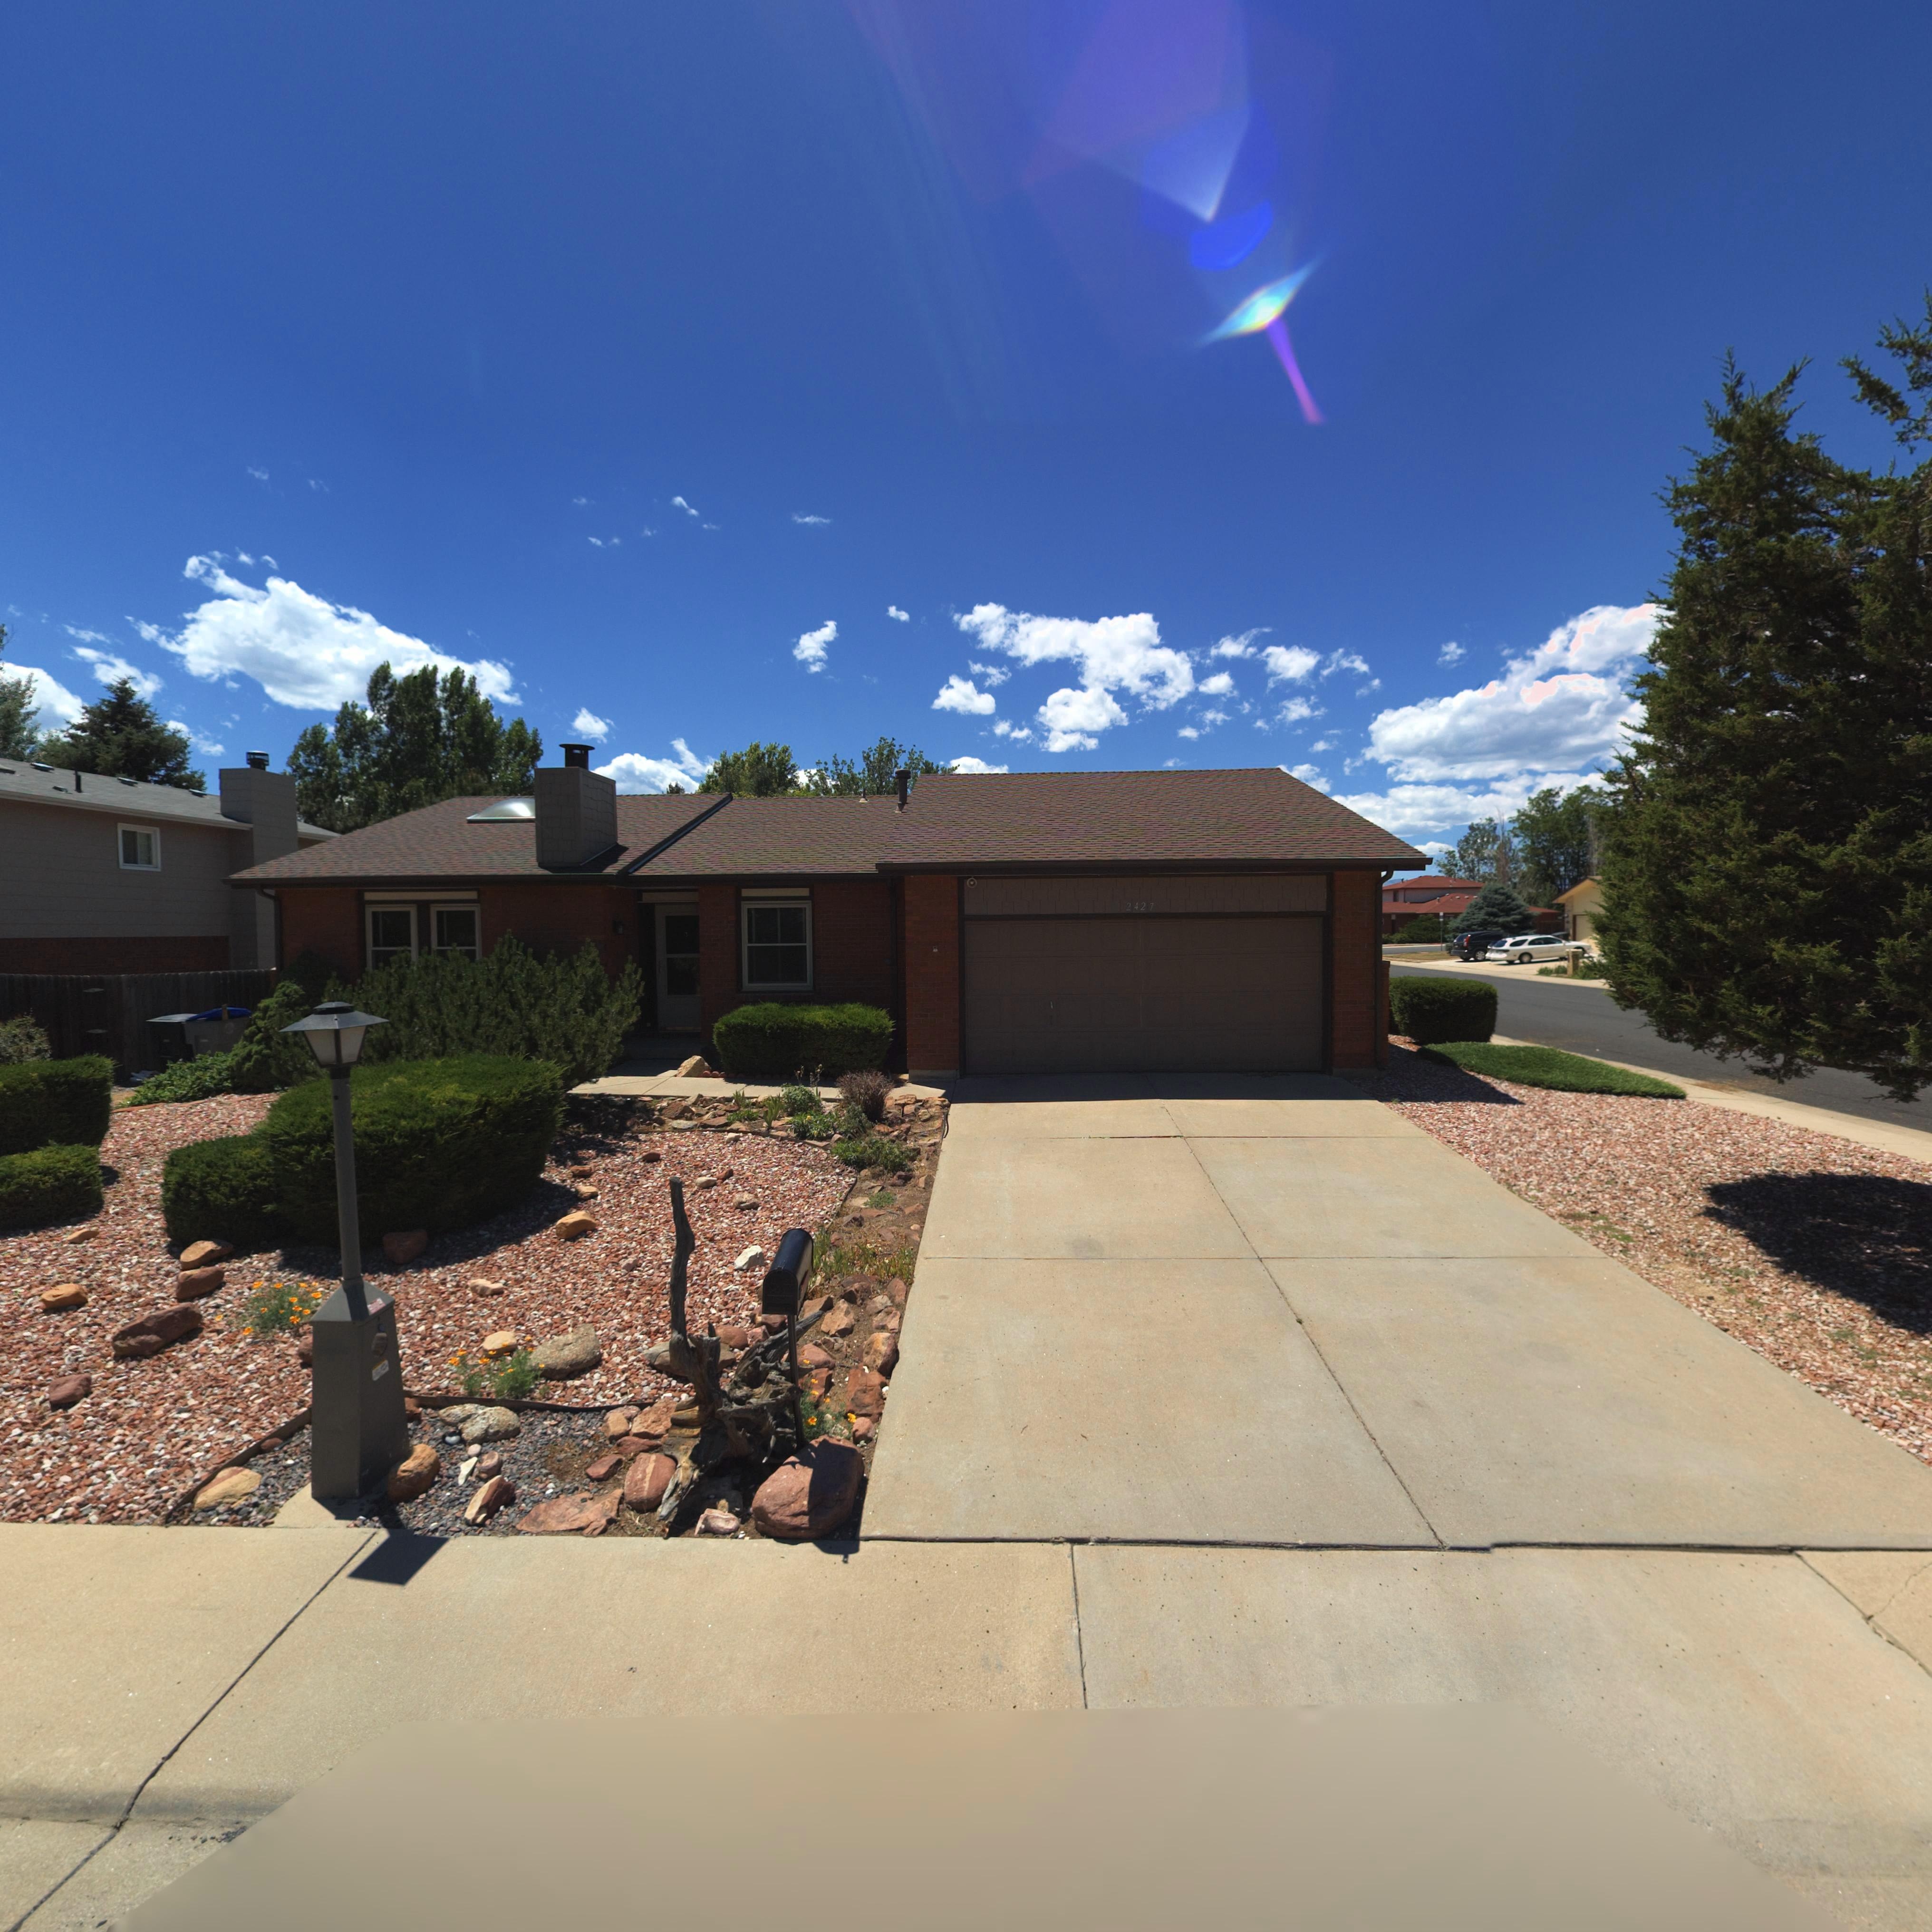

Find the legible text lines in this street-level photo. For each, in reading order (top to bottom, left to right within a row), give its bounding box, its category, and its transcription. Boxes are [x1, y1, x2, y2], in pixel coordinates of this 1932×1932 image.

[1125, 902, 1155, 911] StreetNumber: 2427